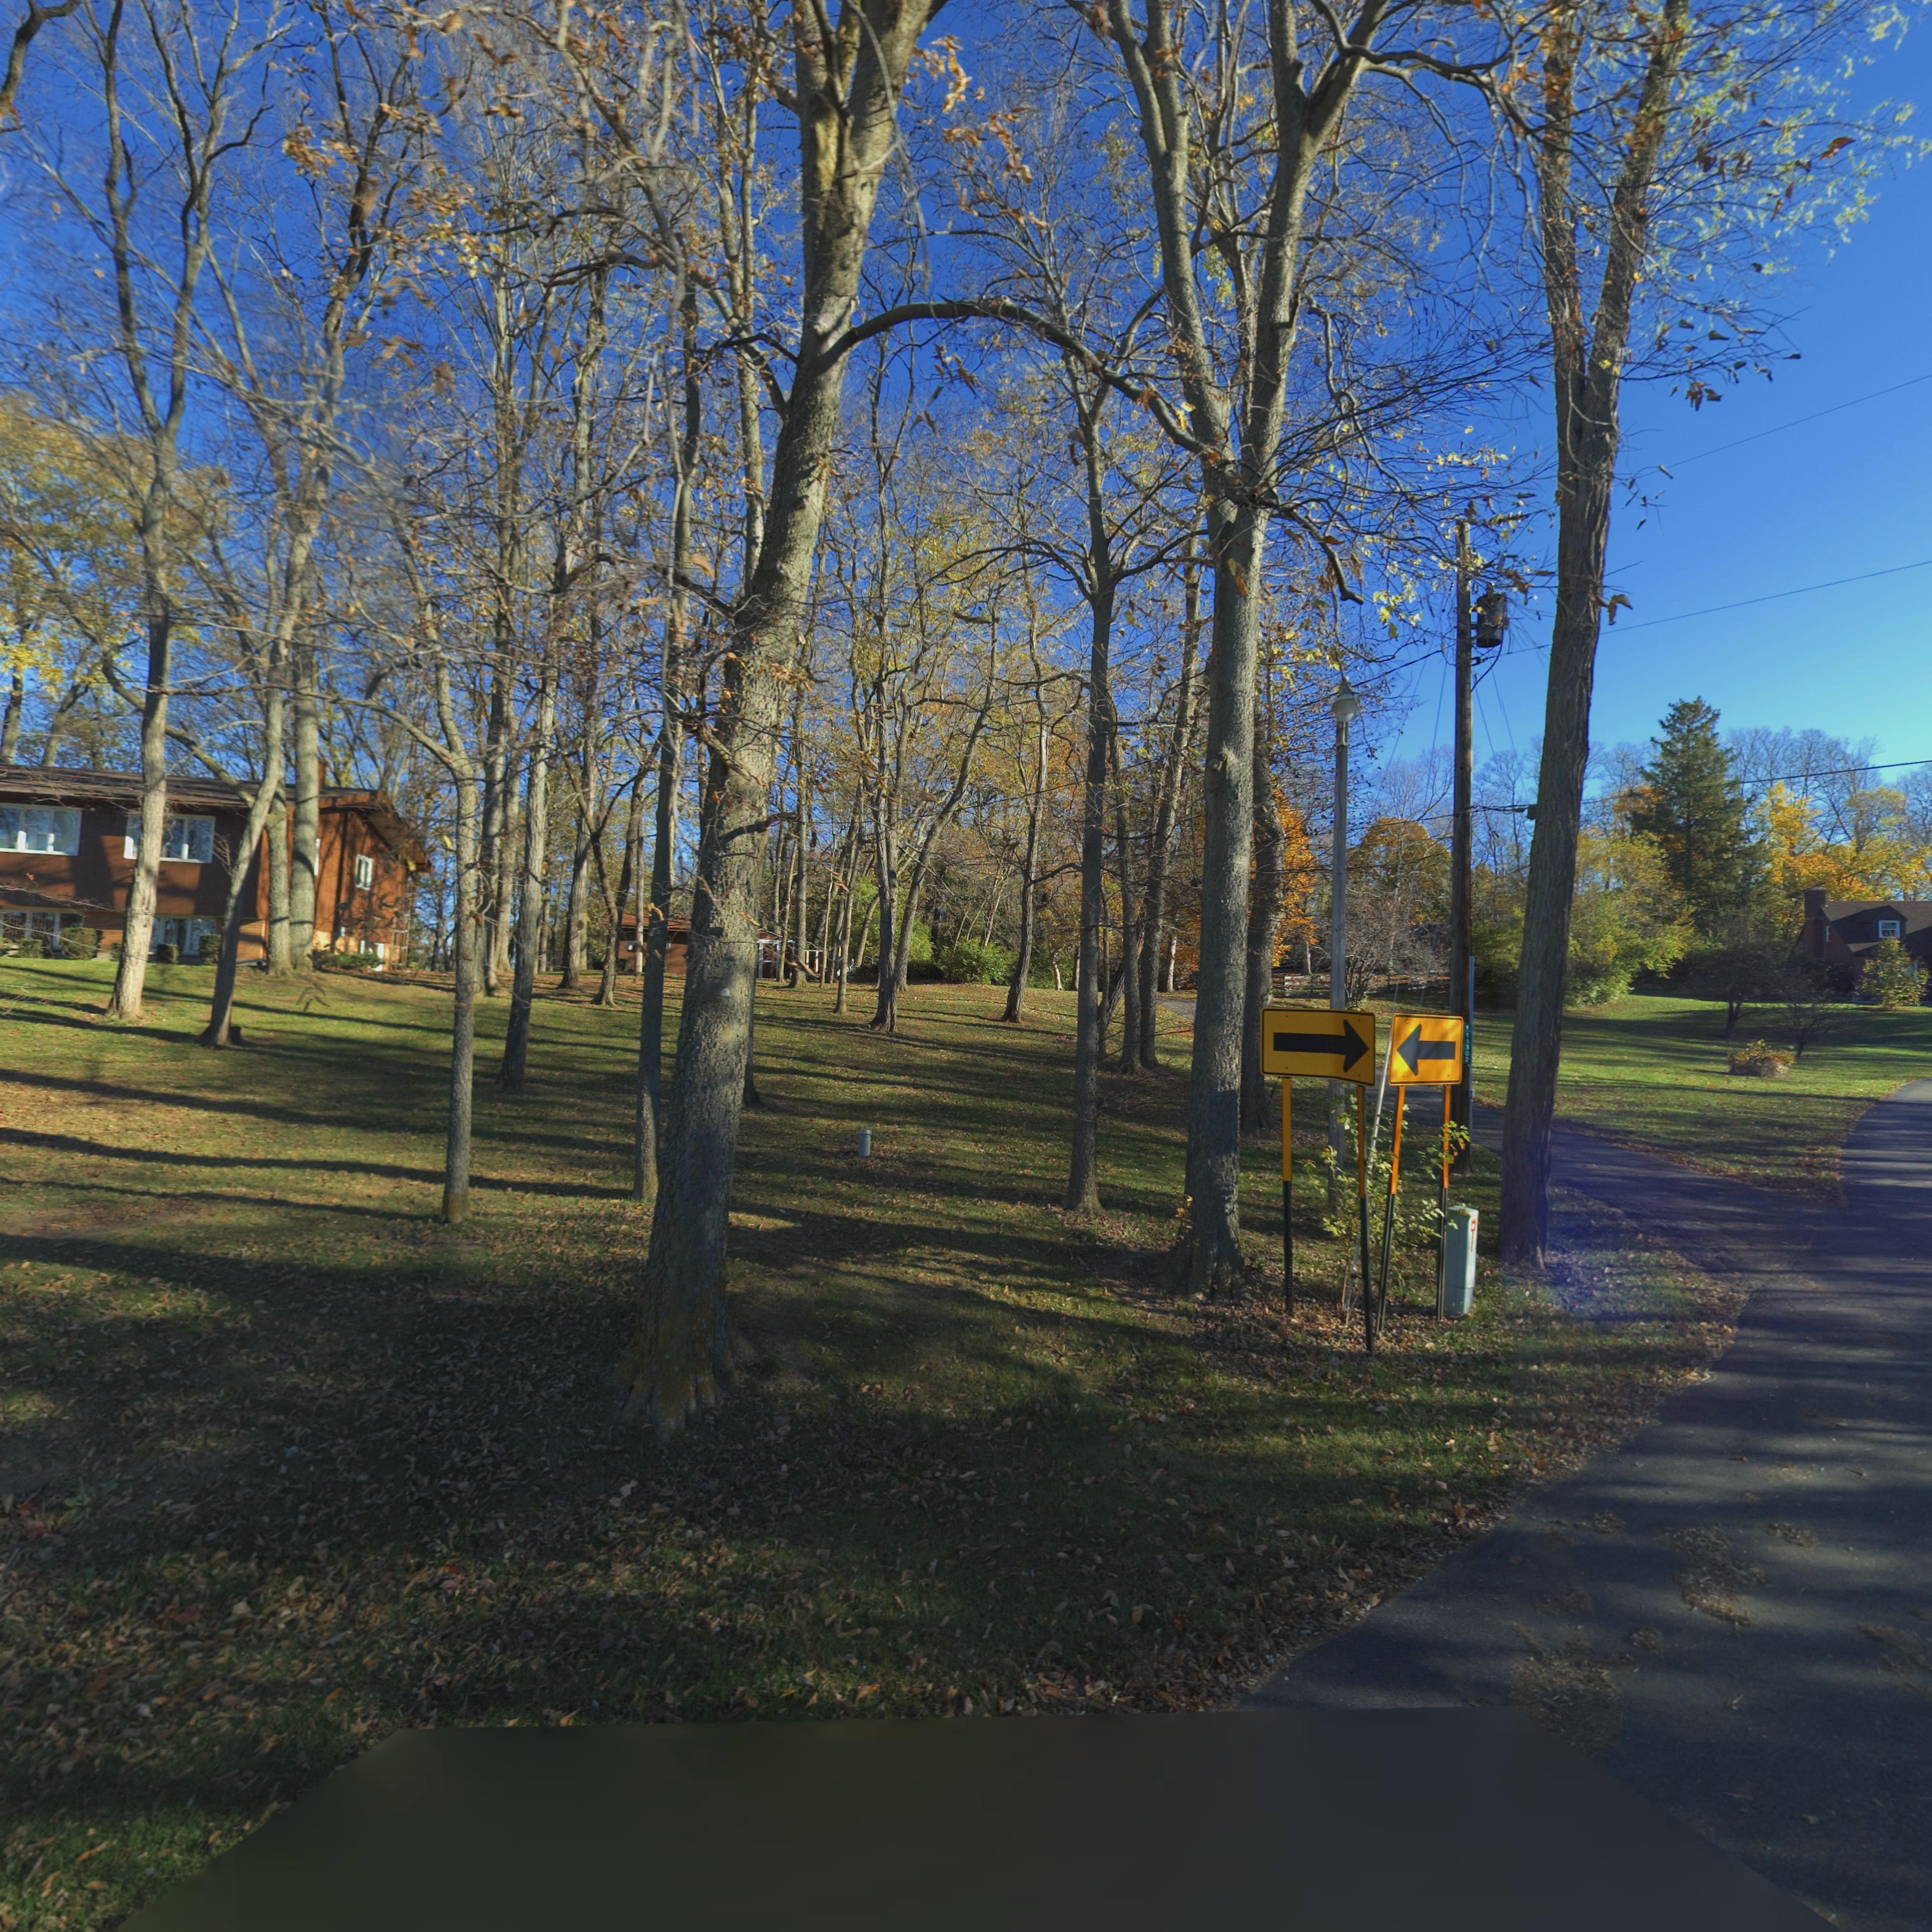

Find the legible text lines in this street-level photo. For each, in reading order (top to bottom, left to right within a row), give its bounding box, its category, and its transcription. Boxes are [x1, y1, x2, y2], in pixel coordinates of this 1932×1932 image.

[1464, 1031, 1470, 1063] StreetNumber: 11302